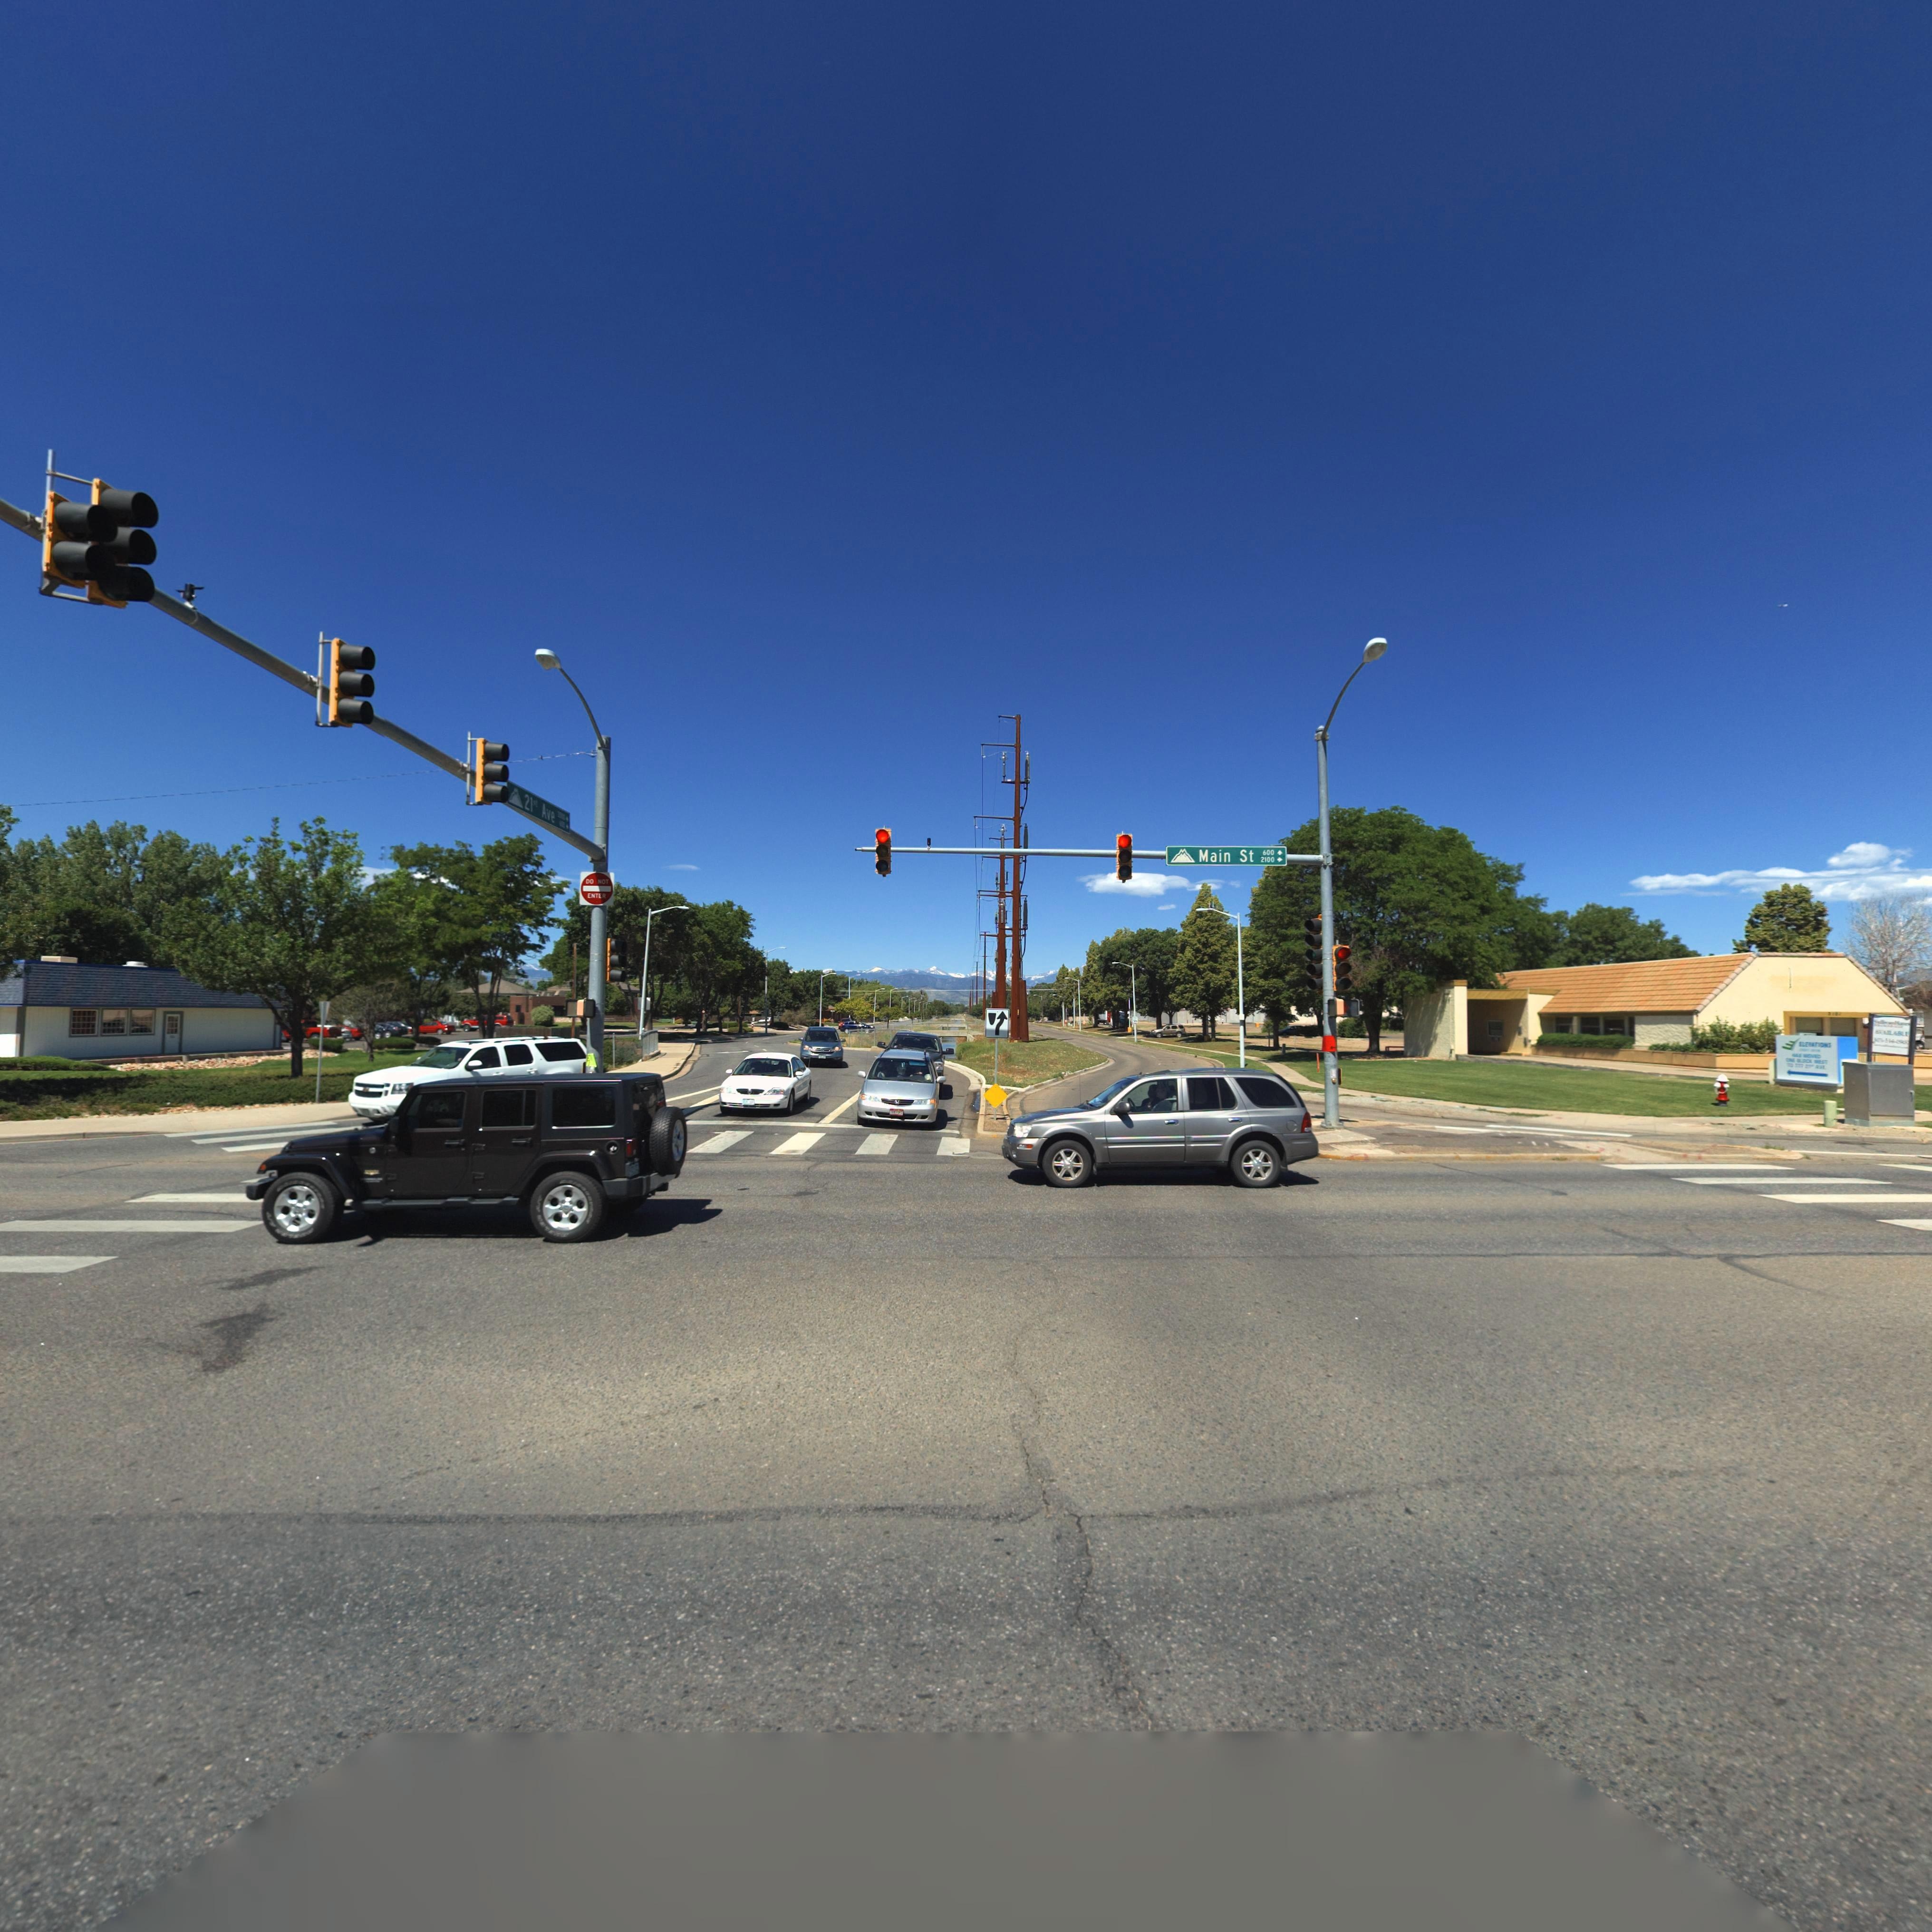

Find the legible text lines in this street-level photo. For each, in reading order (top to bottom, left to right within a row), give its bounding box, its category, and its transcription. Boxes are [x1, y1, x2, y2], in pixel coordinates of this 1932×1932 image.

[524, 793, 555, 824] StreetName: 21st Ave
[557, 810, 565, 821] StreetNumberRange: 2000
[559, 819, 569, 830] StreetNumberRange: 600->
[1198, 849, 1254, 862] StreetName: Main St
[1262, 849, 1275, 856] StreetNumberRange: 600
[1260, 856, 1283, 862] StreetNumberRange: 2100->
[1827, 1011, 1841, 1016] StreetNumber: 2102
[1798, 1041, 1831, 1048] BusinessName: ELEVEATIONS
[1804, 1063, 1825, 1070] BusinessName: 2*** AVE